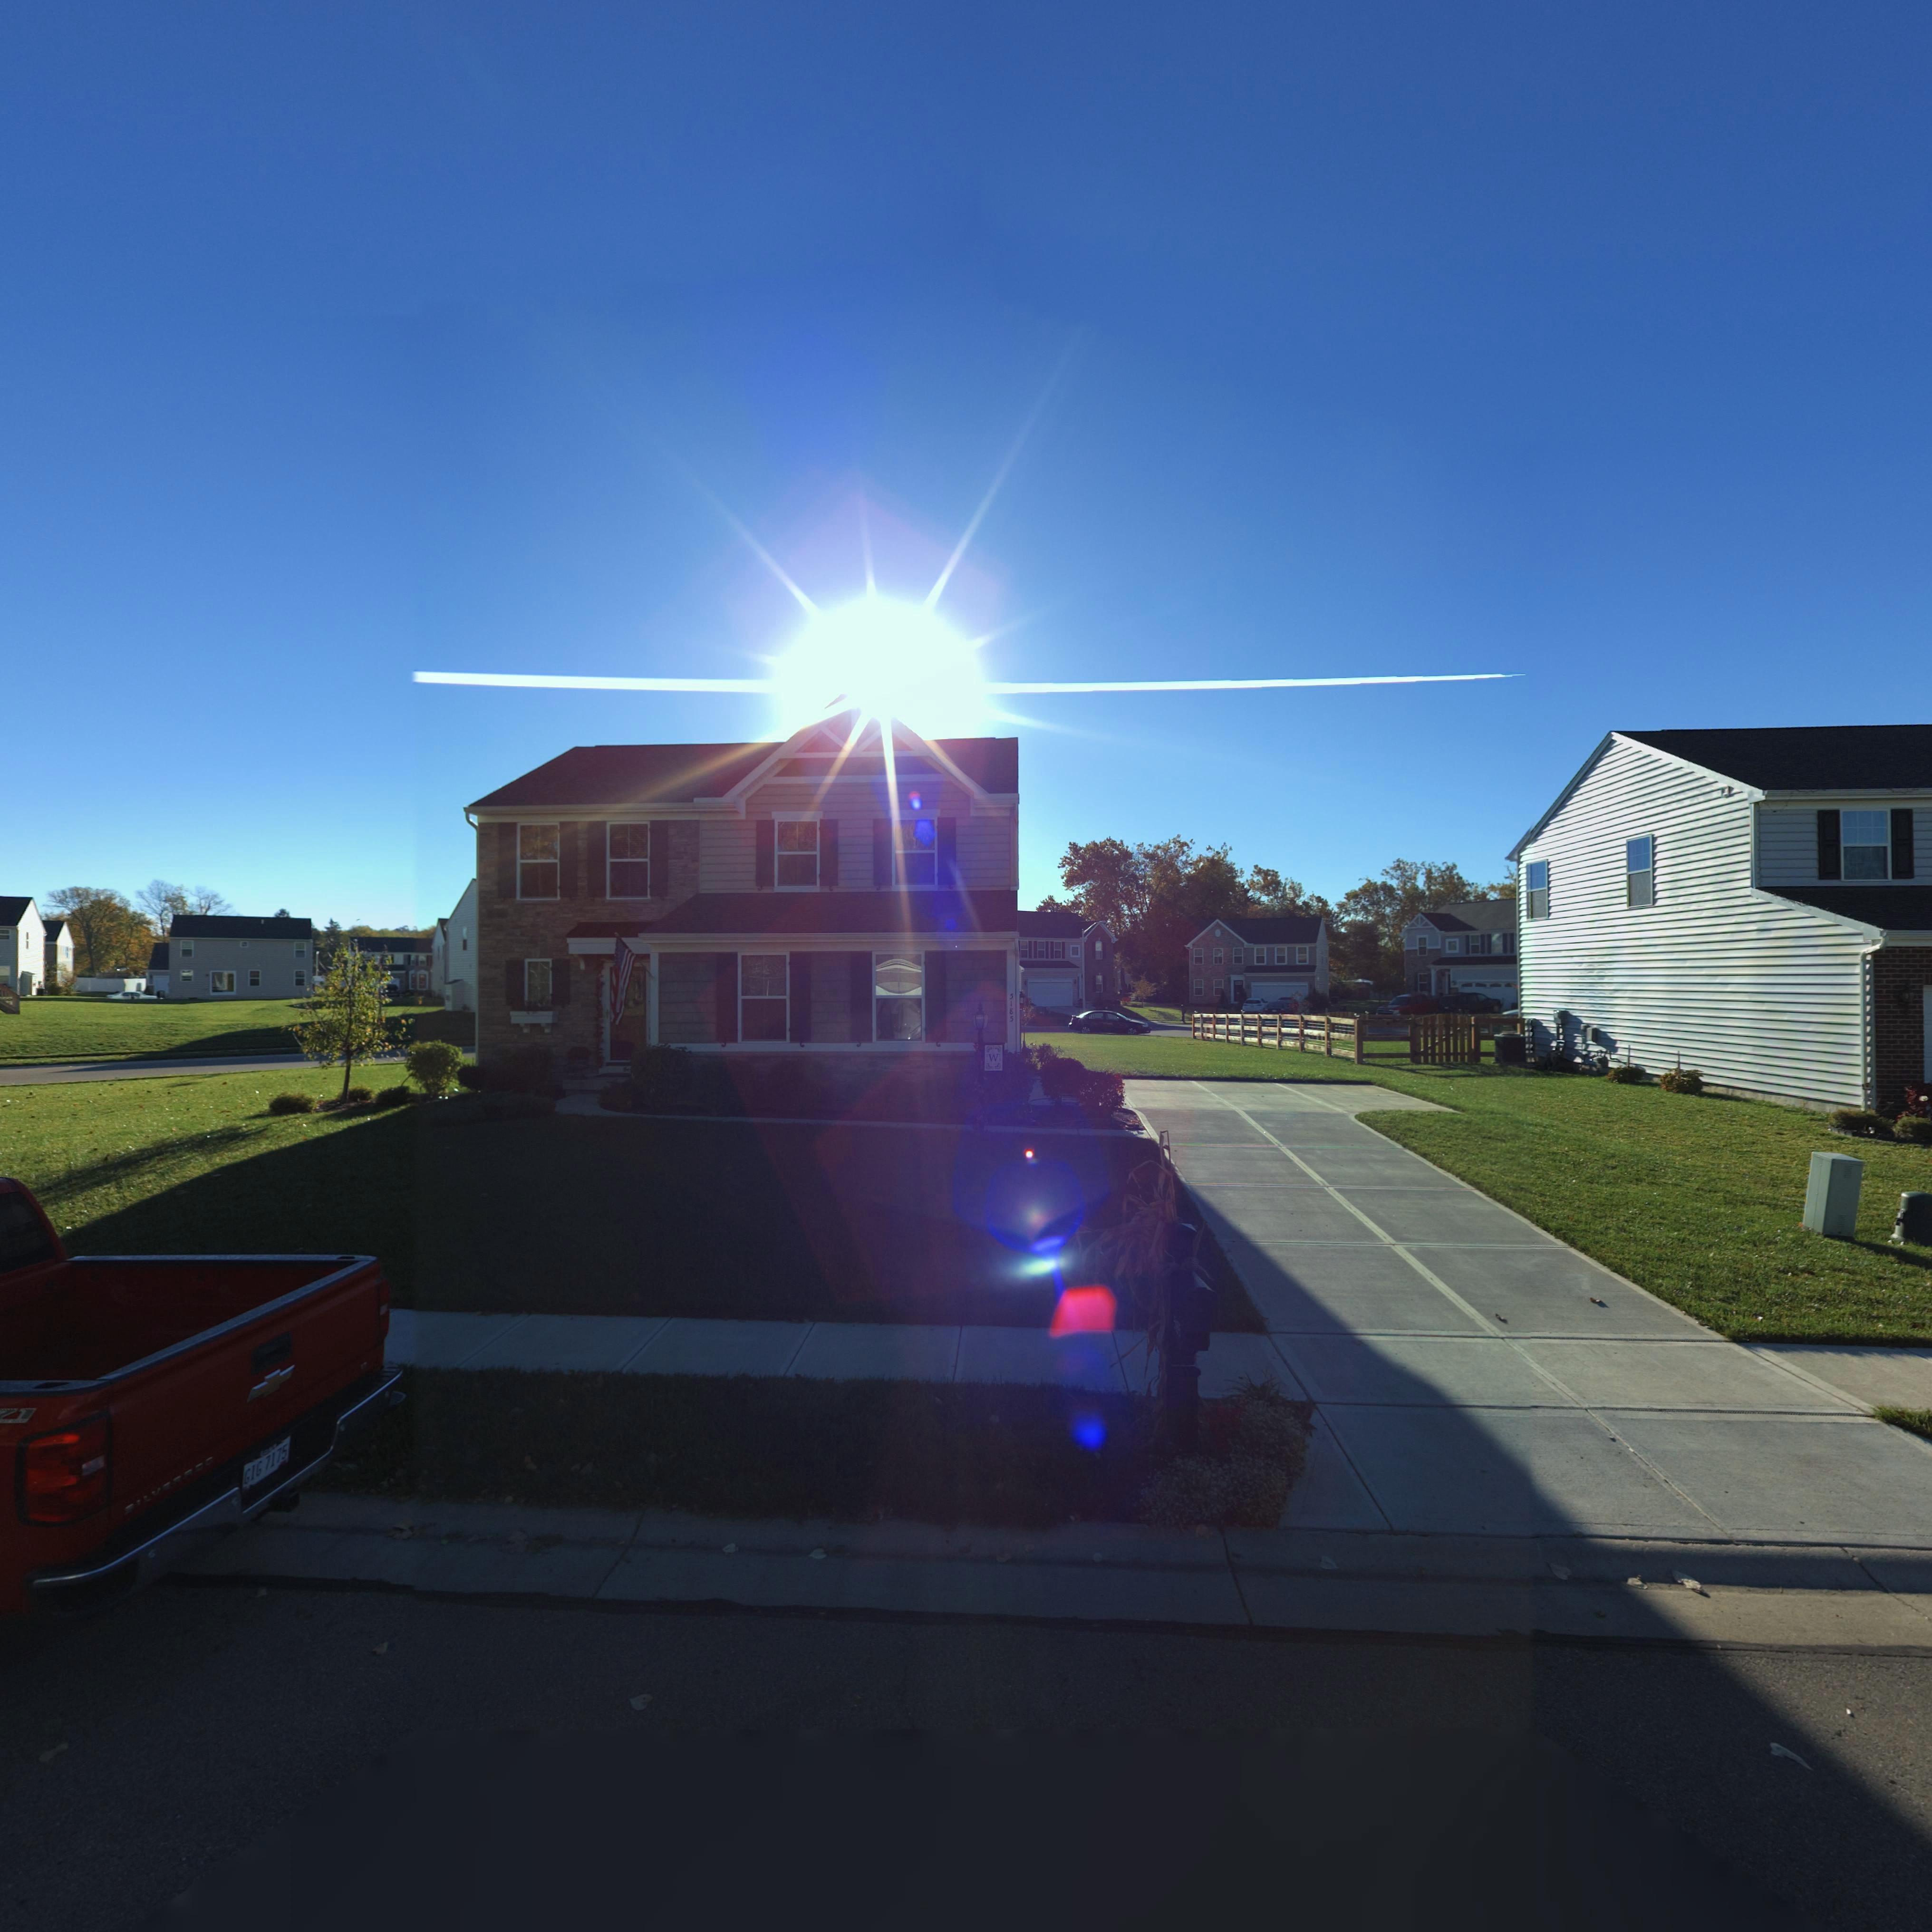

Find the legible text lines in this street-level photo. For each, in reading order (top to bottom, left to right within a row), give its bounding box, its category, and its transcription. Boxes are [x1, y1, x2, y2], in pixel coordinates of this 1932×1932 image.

[1008, 993, 1014, 1023] StreetNumber: 5185